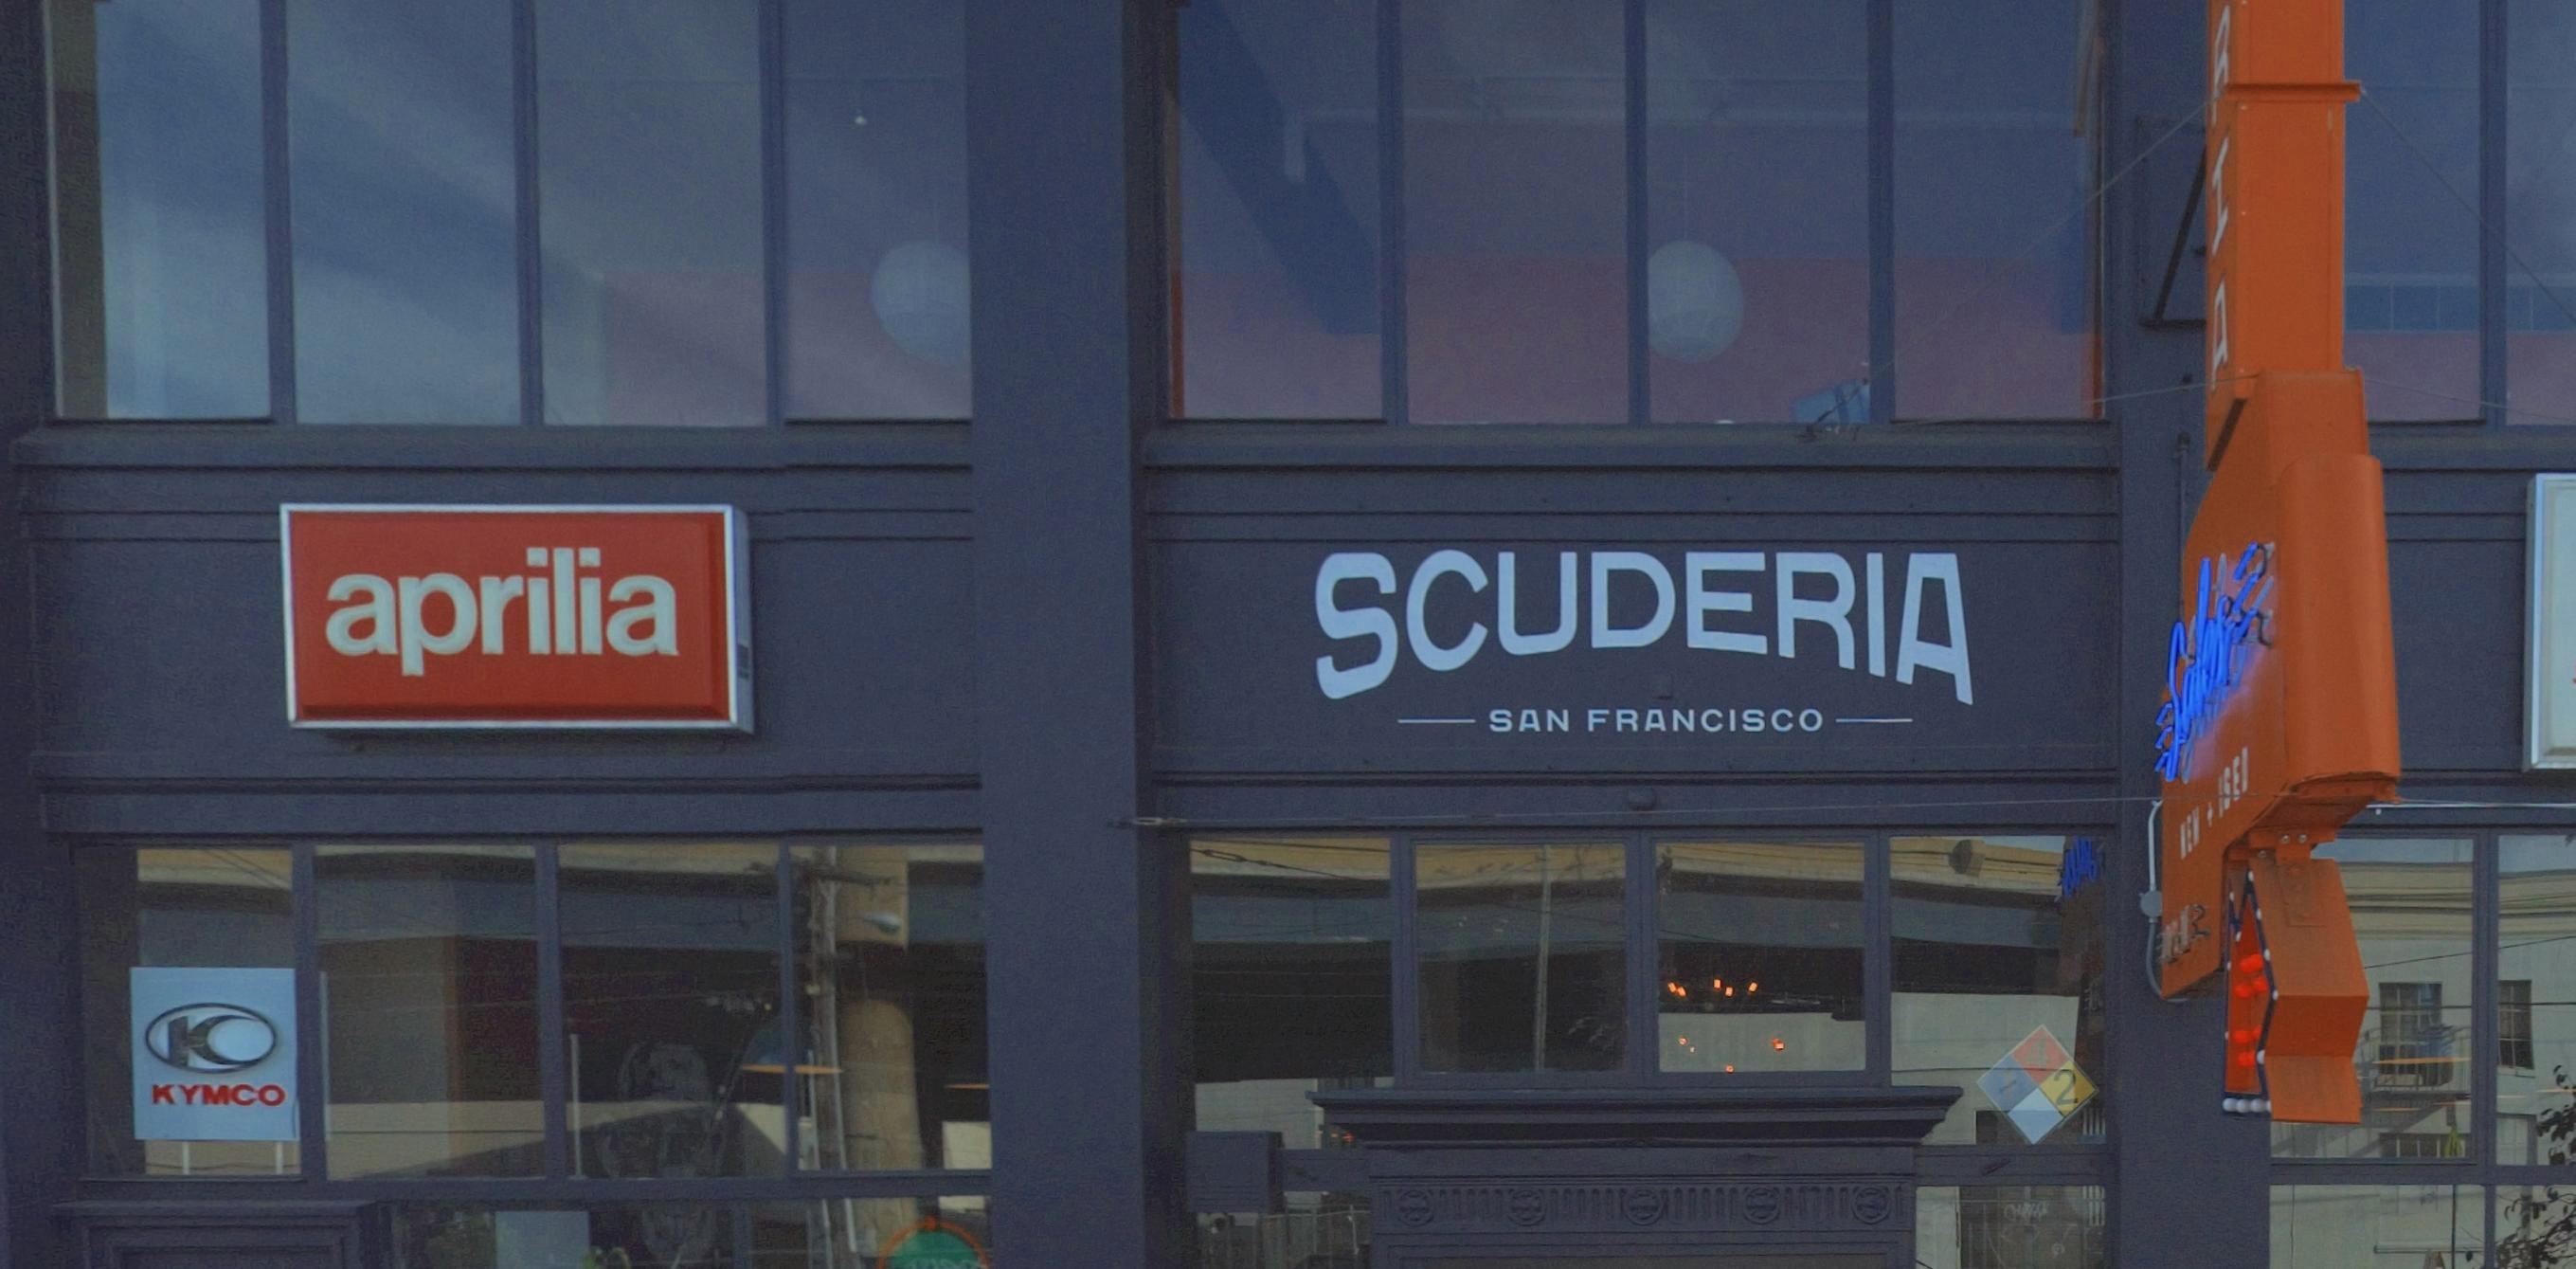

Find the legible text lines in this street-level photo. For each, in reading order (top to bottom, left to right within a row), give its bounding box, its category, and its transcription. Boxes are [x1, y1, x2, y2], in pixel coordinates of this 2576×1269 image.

[2205, 1, 2237, 407] BusinessName: RIA
[320, 540, 683, 686] None: aprilia
[1306, 542, 1979, 714] BusinessName: SCUDERIA
[1481, 700, 1830, 739] None: SAN FRANCISCO
[2175, 736, 2255, 868] None: NEW * USED
[2023, 1028, 2052, 1077] None: 4
[148, 1079, 291, 1110] None: KYMCO
[1996, 1061, 2021, 1107] None: 1
[2050, 1064, 2082, 1108] None: 2